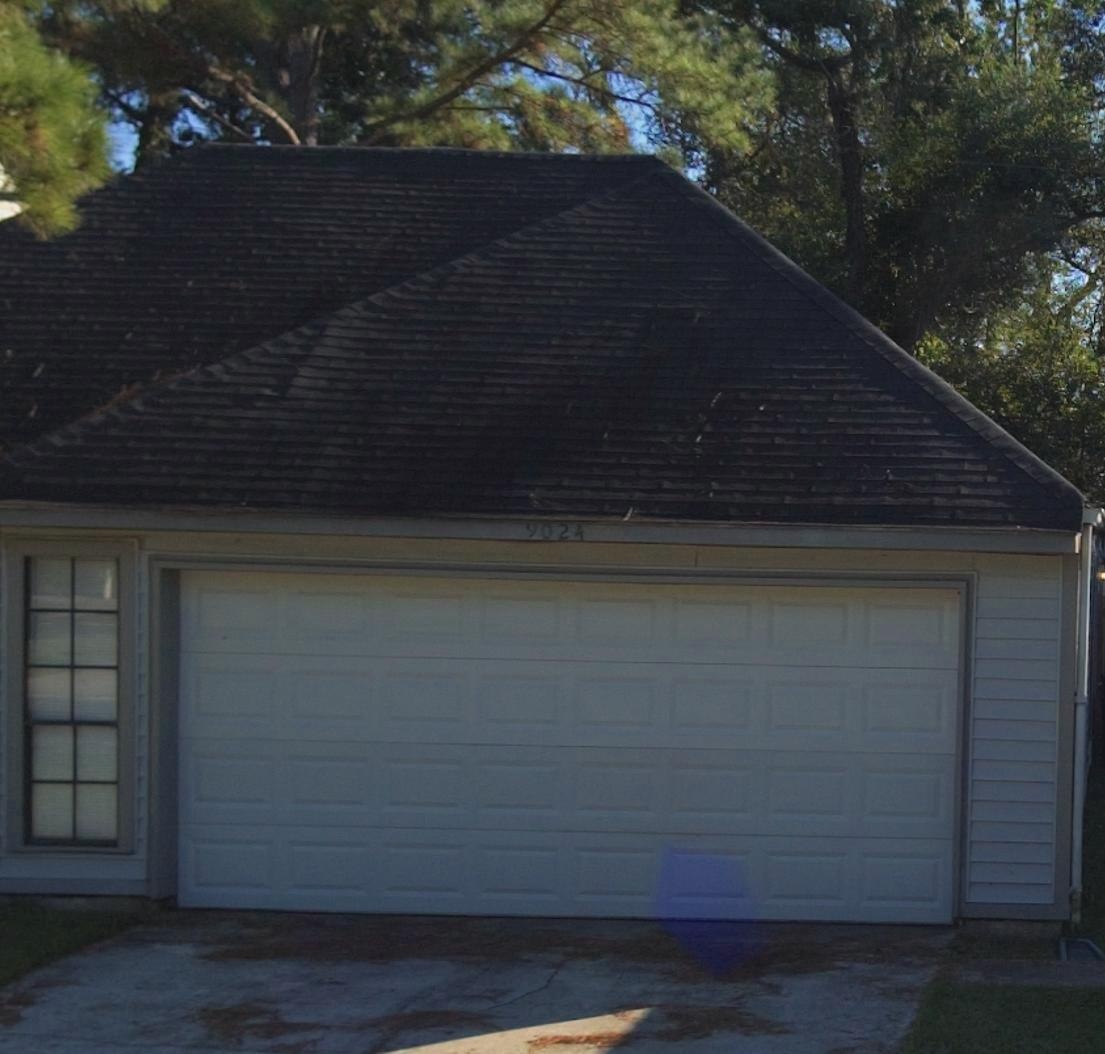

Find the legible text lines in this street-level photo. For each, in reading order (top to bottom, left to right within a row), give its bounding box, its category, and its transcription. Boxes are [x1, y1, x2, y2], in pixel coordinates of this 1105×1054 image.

[523, 521, 587, 541] StreetNumber: 9024